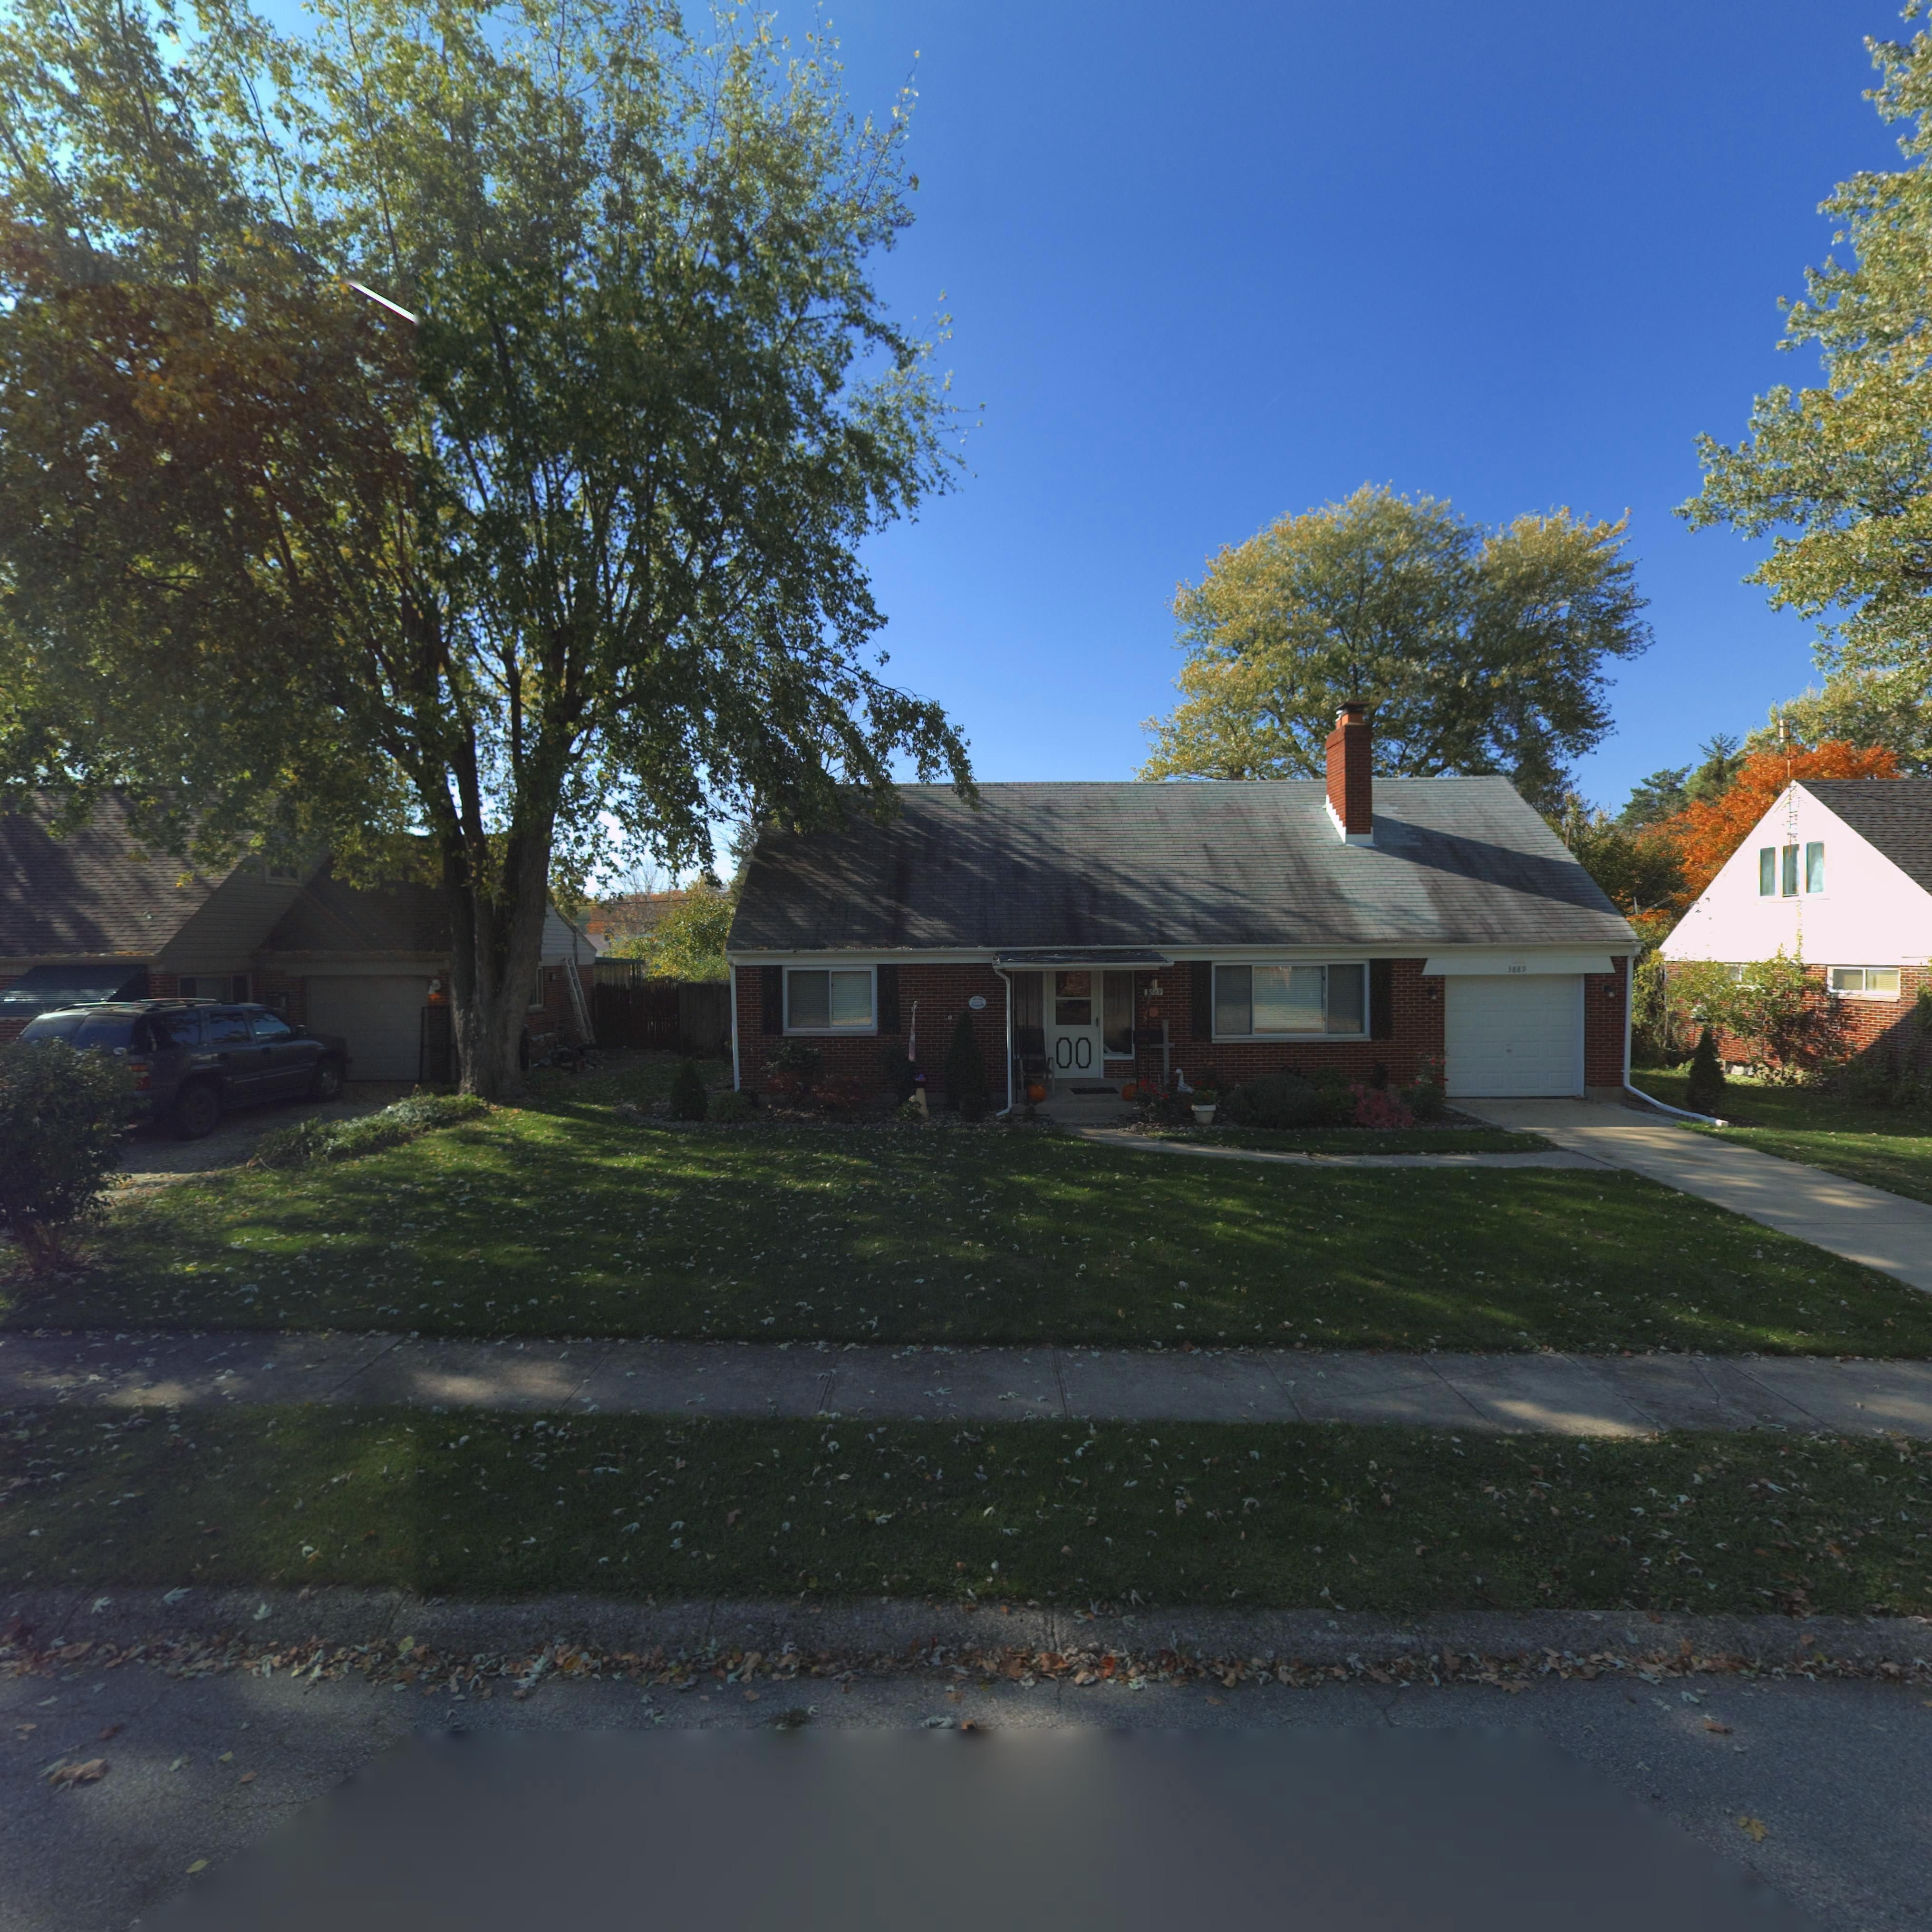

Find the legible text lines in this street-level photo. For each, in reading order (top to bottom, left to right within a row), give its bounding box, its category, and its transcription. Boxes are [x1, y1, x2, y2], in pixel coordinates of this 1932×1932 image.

[1506, 965, 1527, 973] StreetNumber: 3889
[1145, 989, 1162, 995] StreetNumber: *8*9